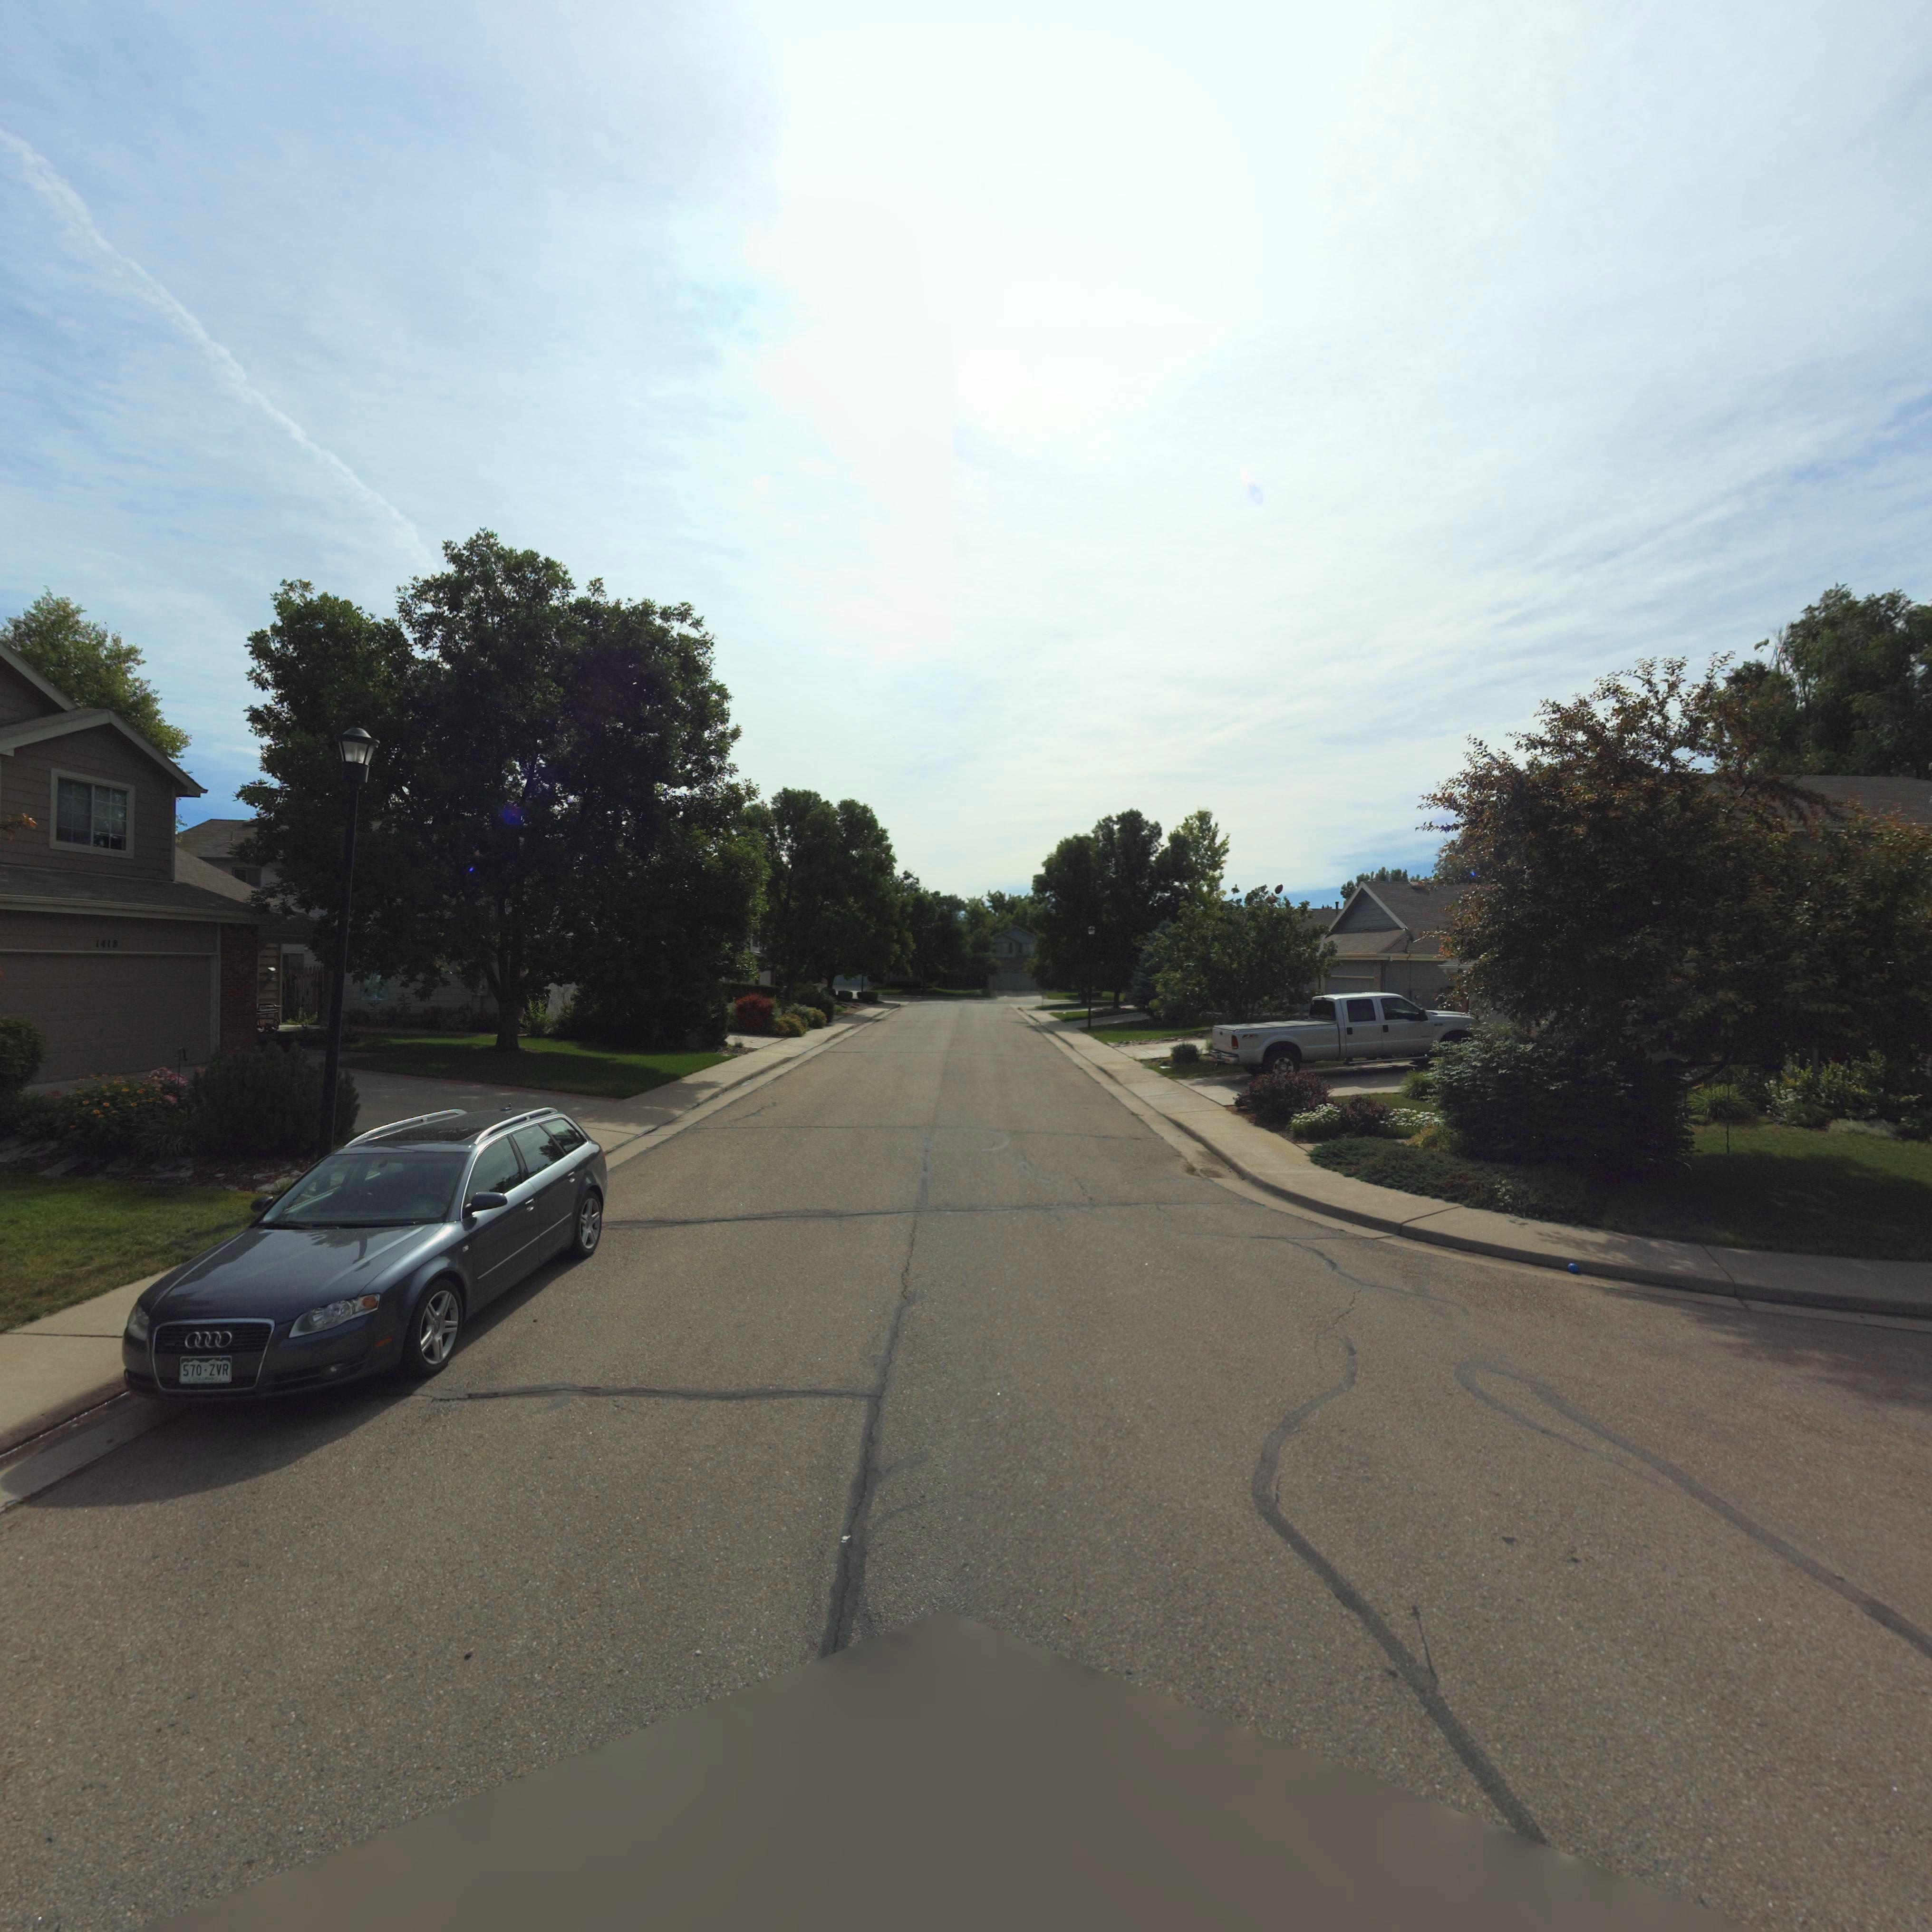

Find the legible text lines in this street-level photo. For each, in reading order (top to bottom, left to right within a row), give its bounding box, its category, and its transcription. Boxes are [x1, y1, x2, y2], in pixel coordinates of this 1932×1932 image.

[96, 939, 118, 948] StreetNumber: 1418